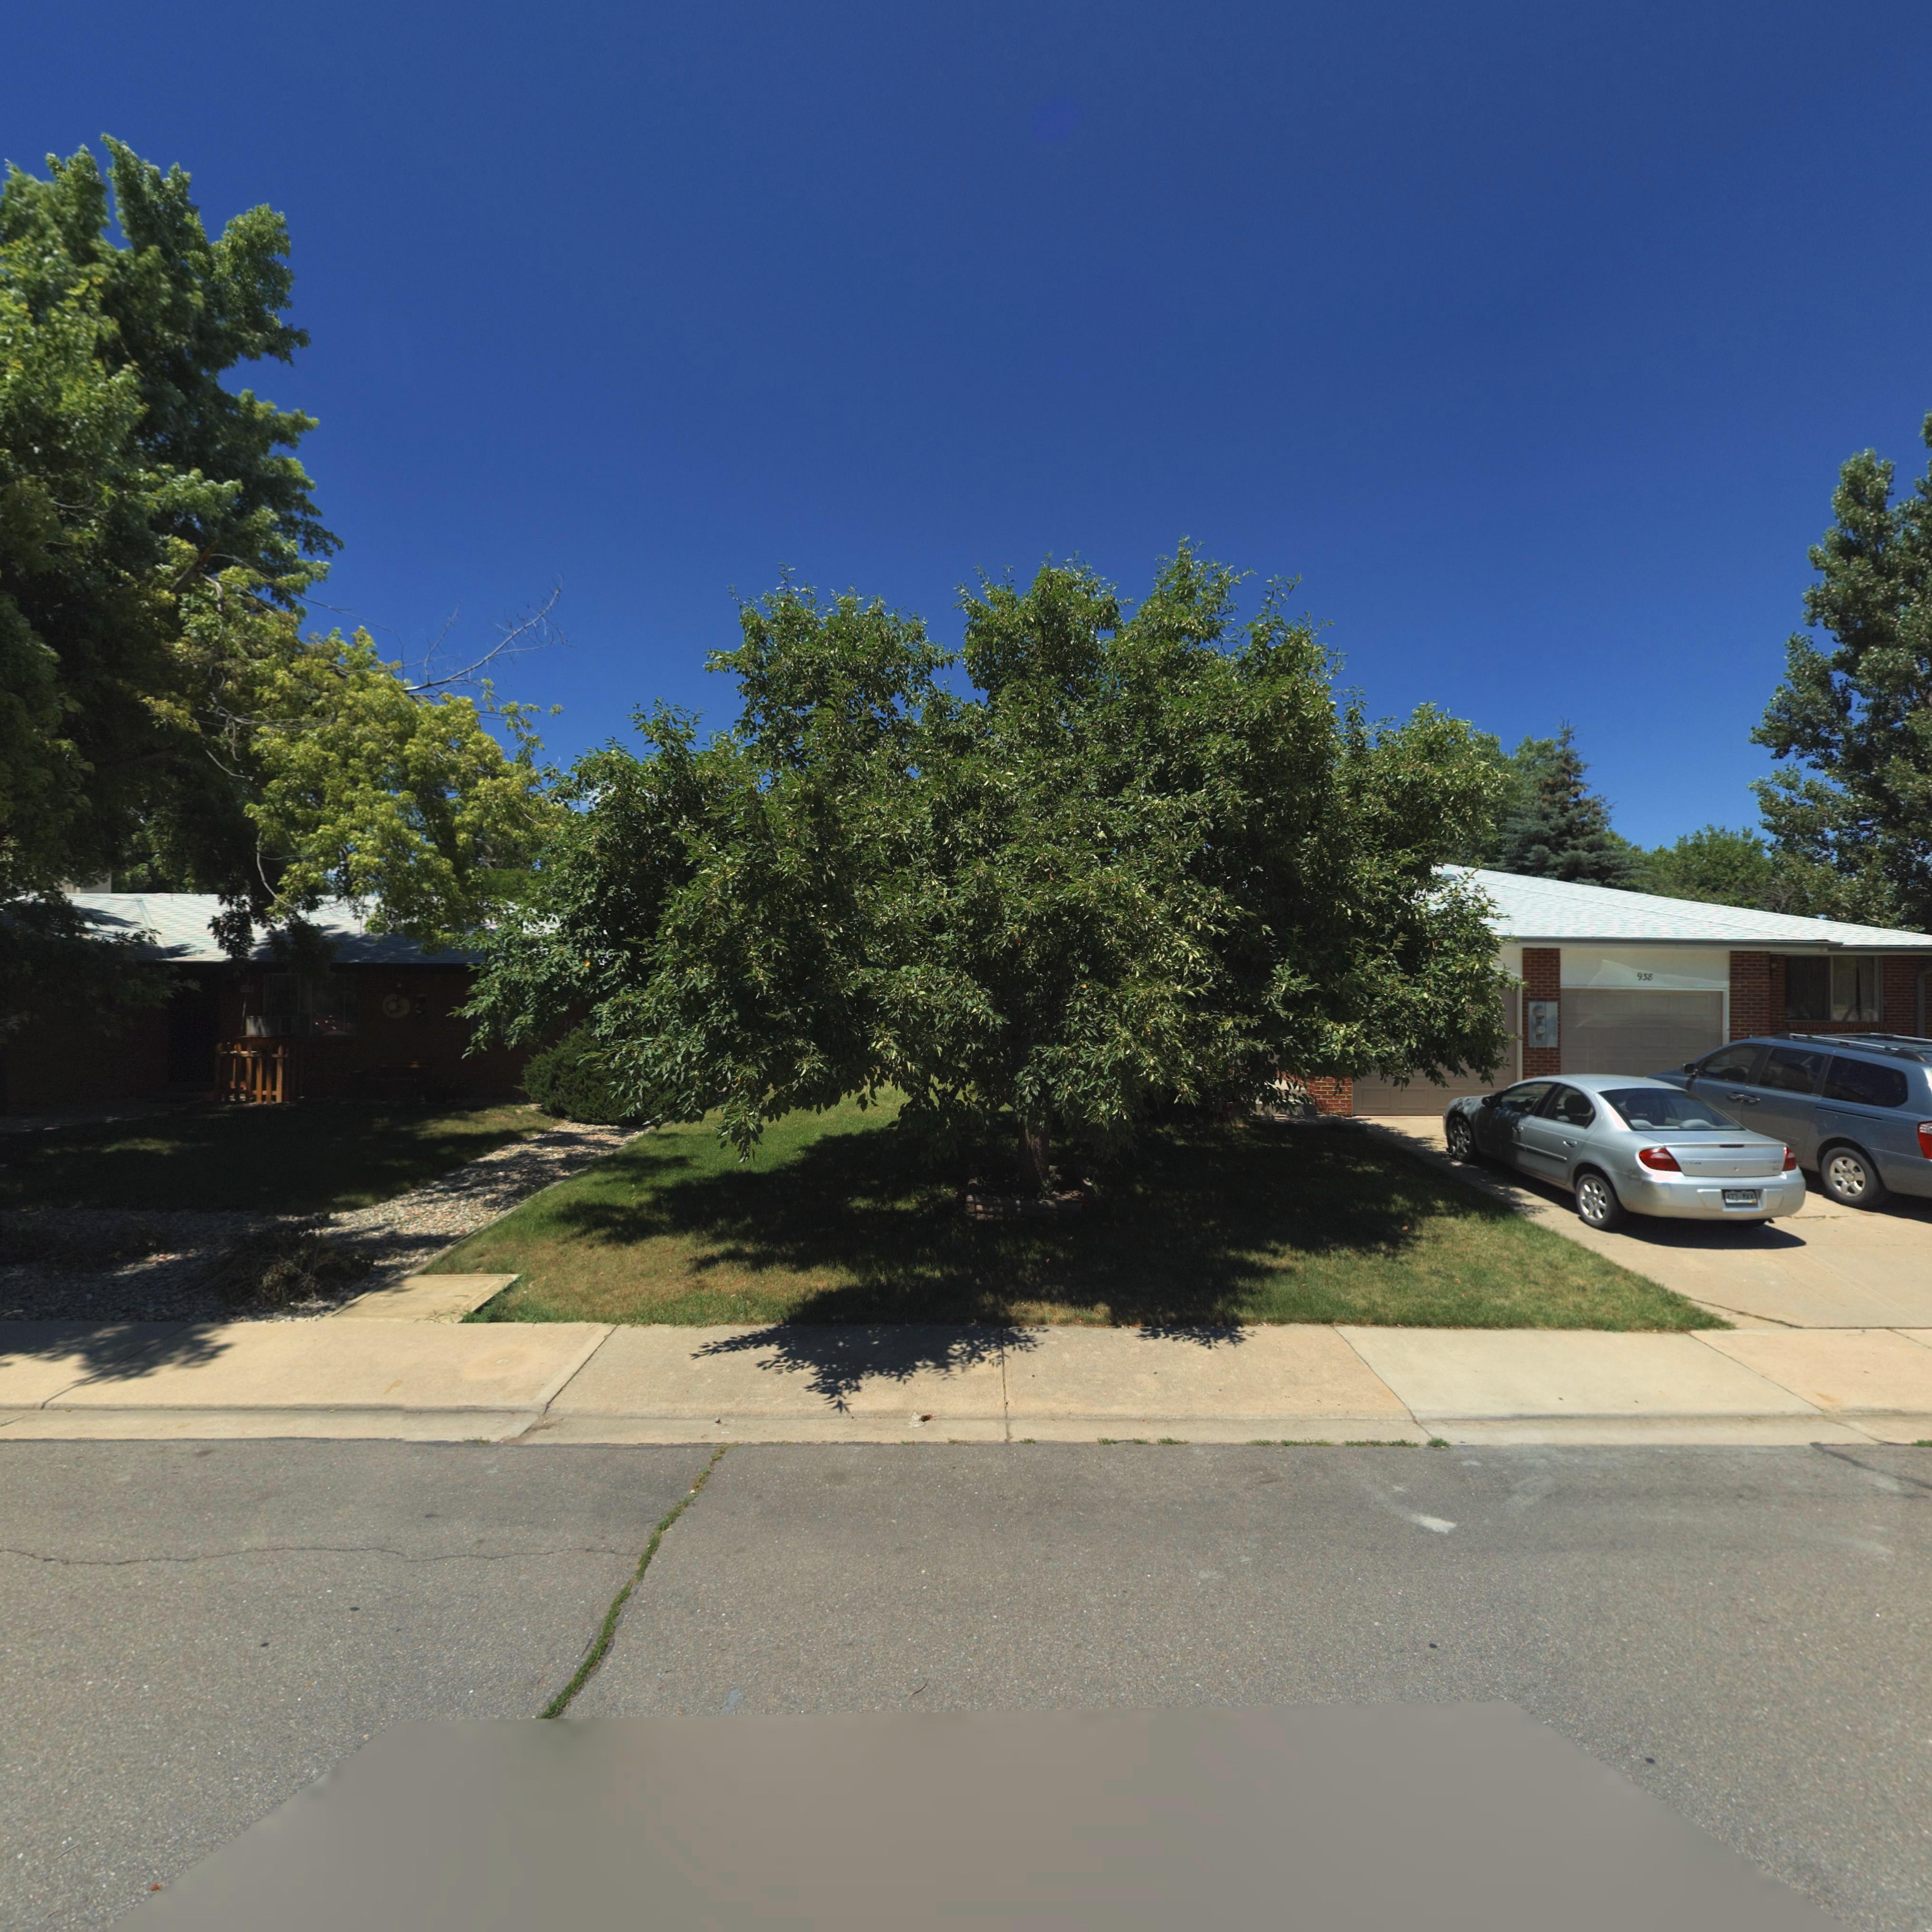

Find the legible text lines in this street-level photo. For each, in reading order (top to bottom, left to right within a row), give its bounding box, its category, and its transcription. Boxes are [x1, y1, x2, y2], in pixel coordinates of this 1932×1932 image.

[1636, 972, 1653, 981] StreetNumber: 938